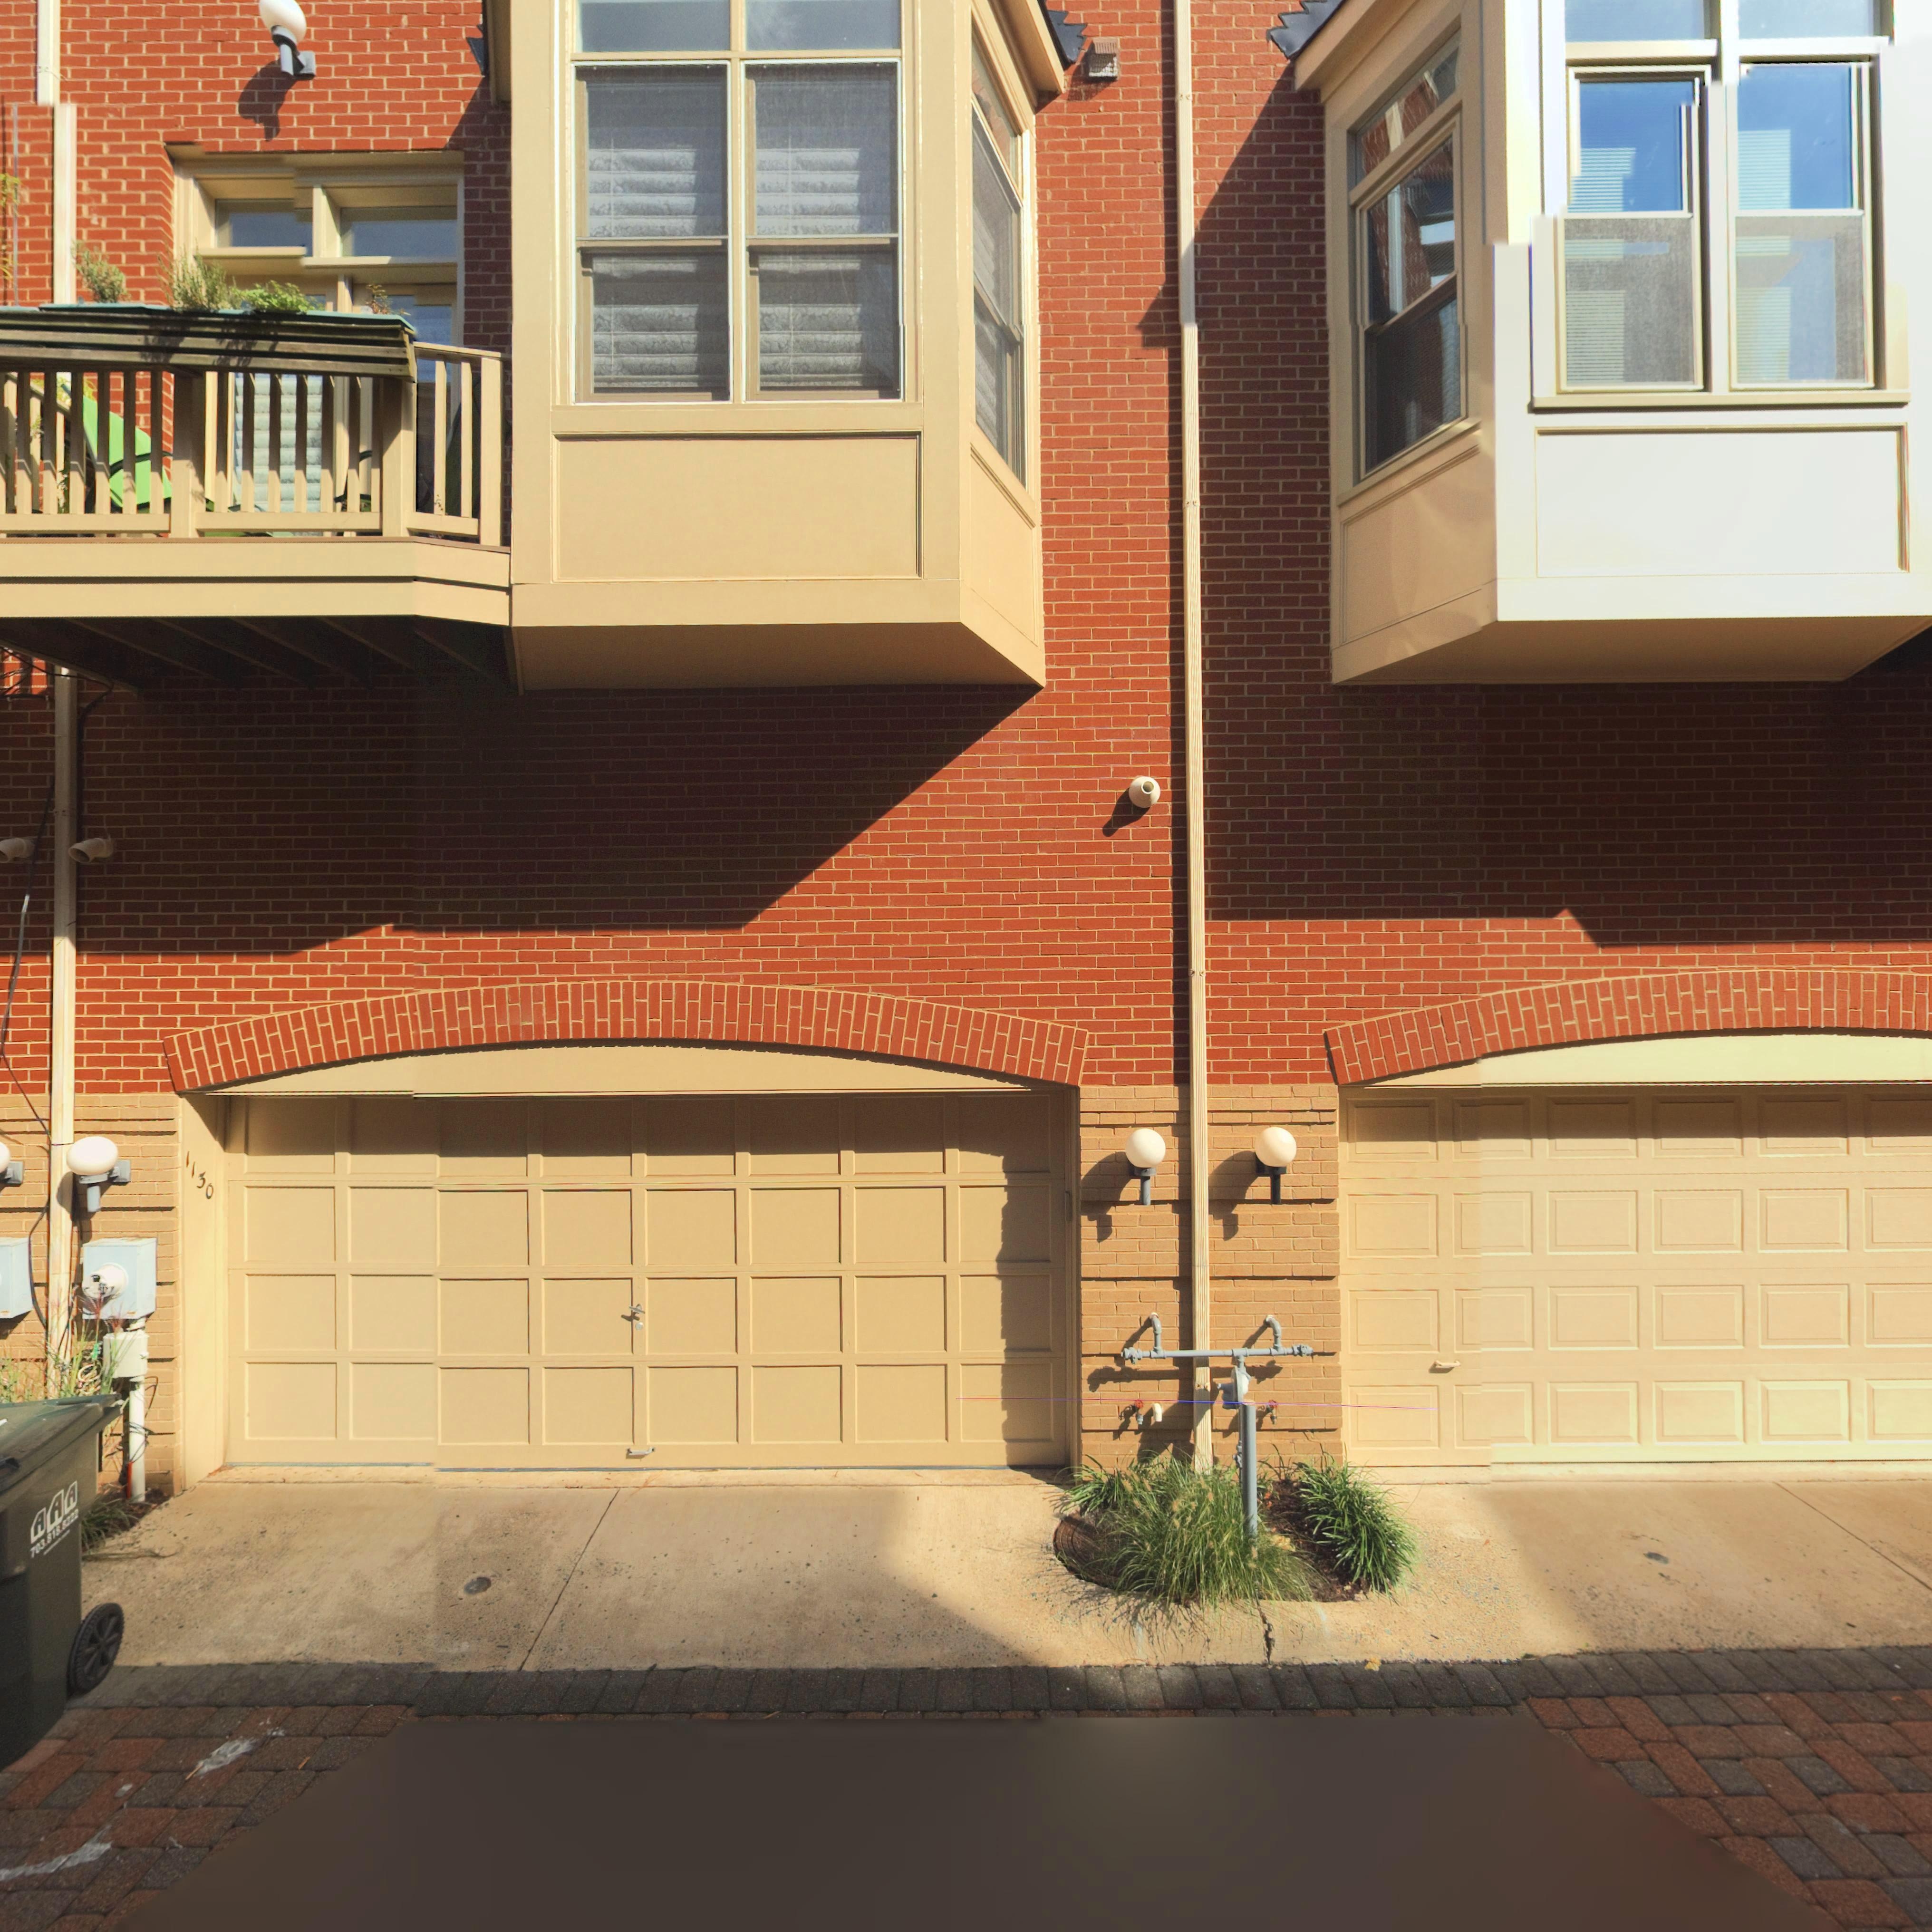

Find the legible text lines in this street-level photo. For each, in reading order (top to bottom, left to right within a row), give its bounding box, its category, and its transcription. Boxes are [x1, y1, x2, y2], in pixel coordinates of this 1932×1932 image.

[183, 1148, 216, 1204] StreetNumber: 1130
[29, 1506, 79, 1560] None: 703.818.8222
[33, 1482, 77, 1538] None: AAA